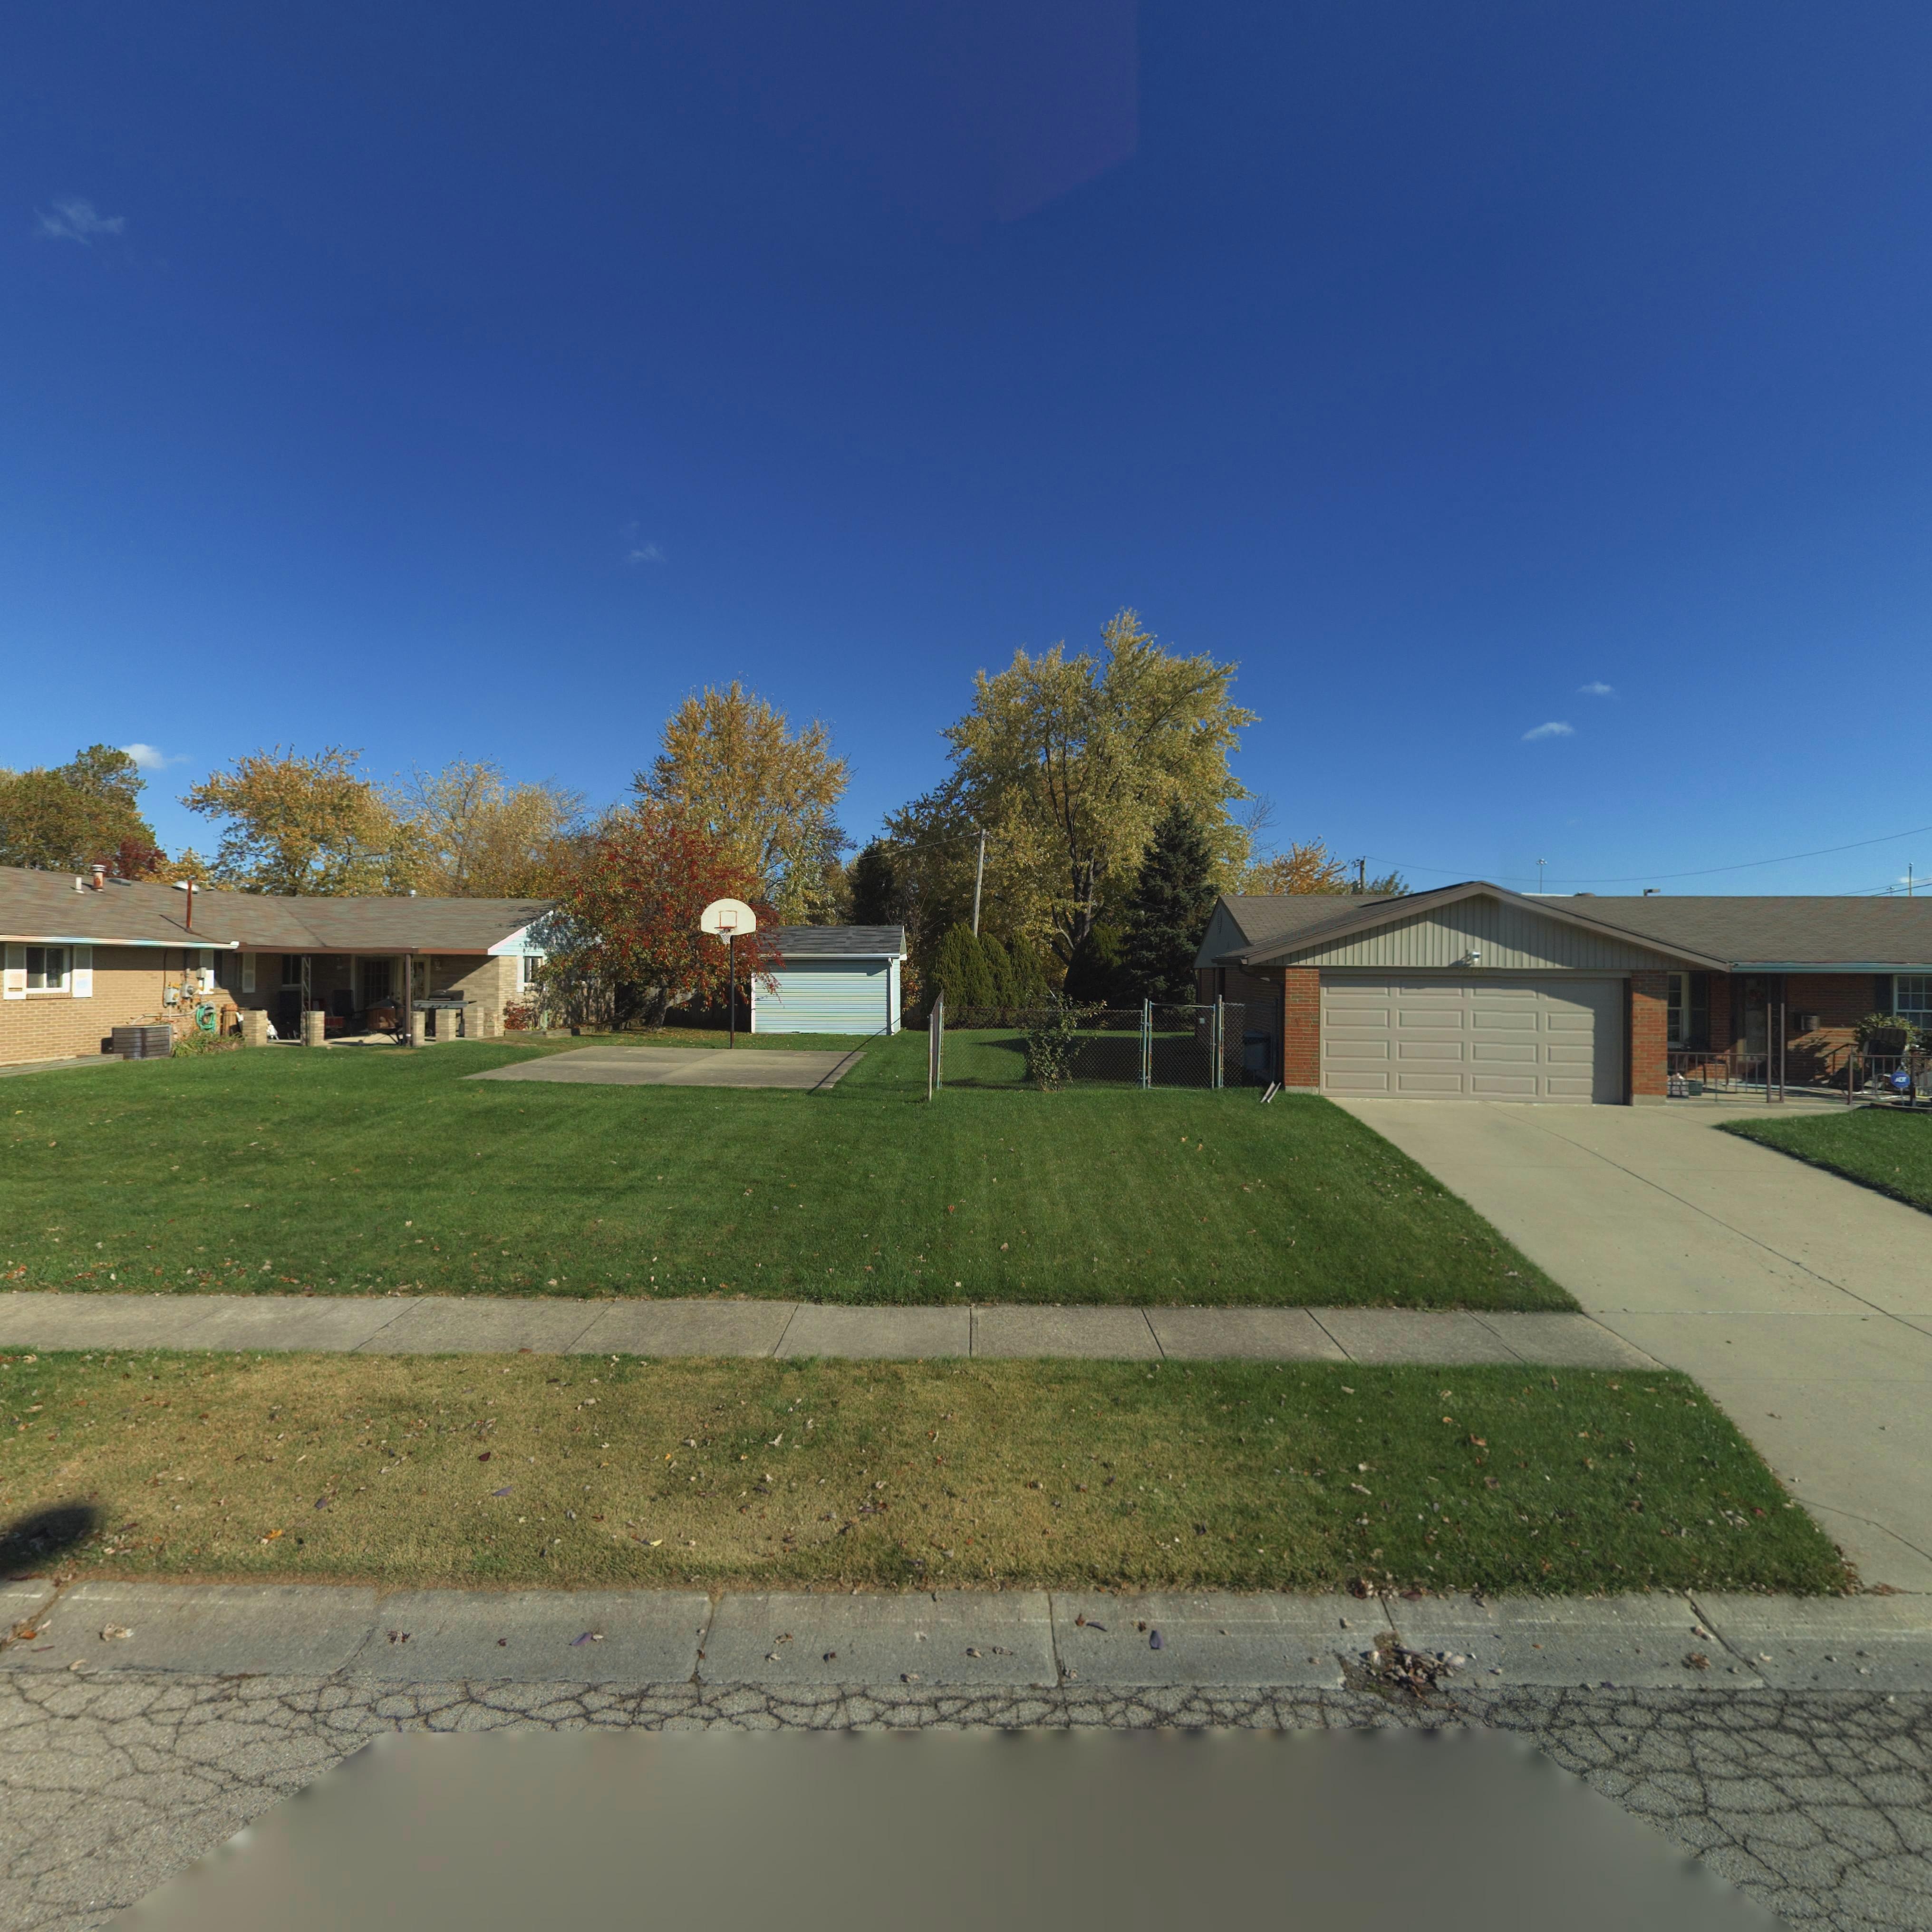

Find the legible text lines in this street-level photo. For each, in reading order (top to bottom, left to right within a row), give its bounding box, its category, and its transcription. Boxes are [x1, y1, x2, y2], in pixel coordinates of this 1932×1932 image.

[1457, 966, 1488, 976] StreetNumber: 7269